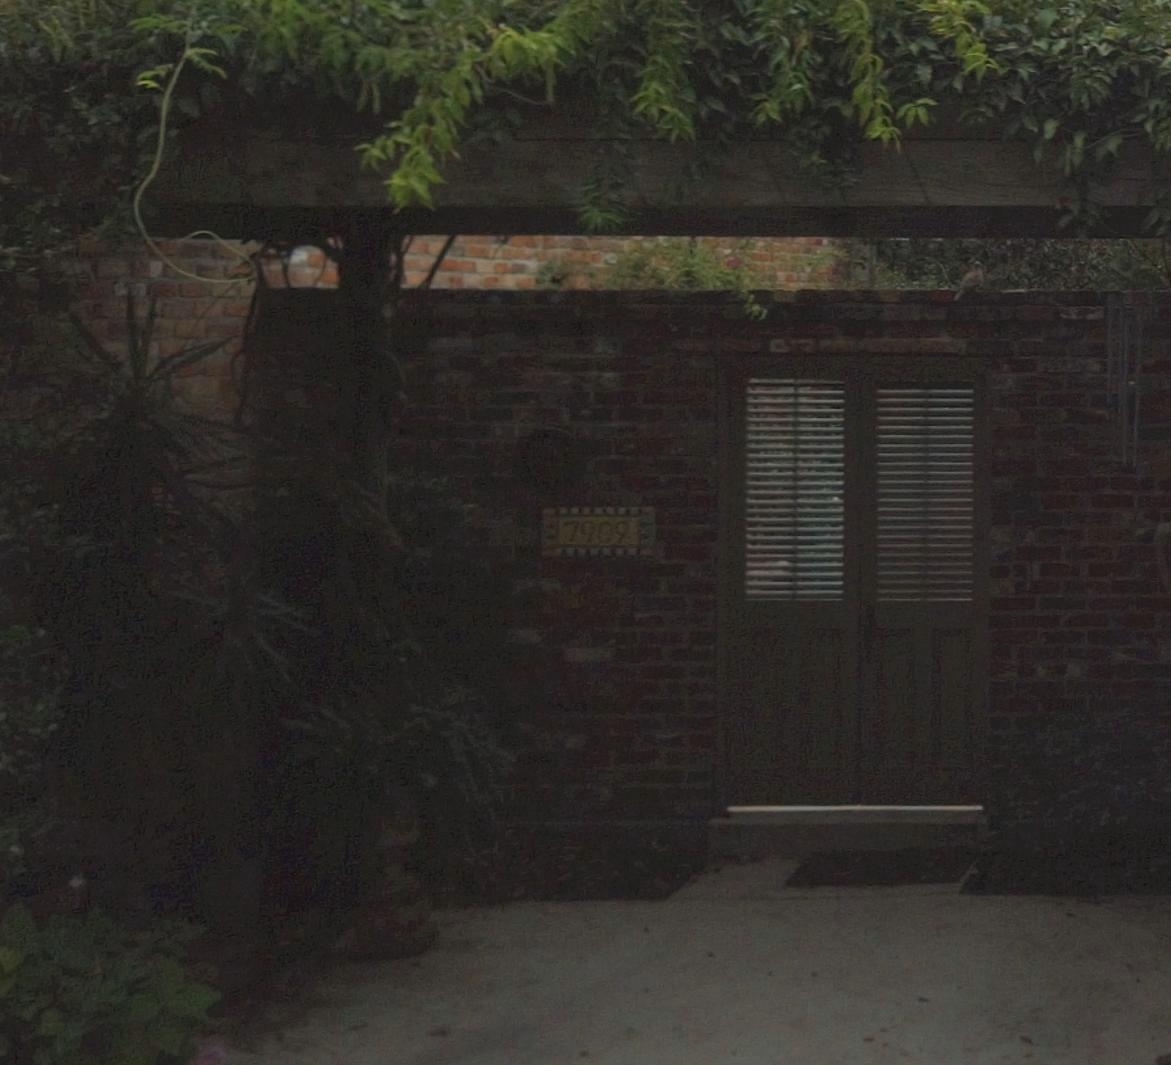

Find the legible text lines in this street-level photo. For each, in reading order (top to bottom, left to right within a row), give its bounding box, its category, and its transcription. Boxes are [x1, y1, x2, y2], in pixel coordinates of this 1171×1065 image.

[563, 521, 630, 545] StreetNumber: 7909